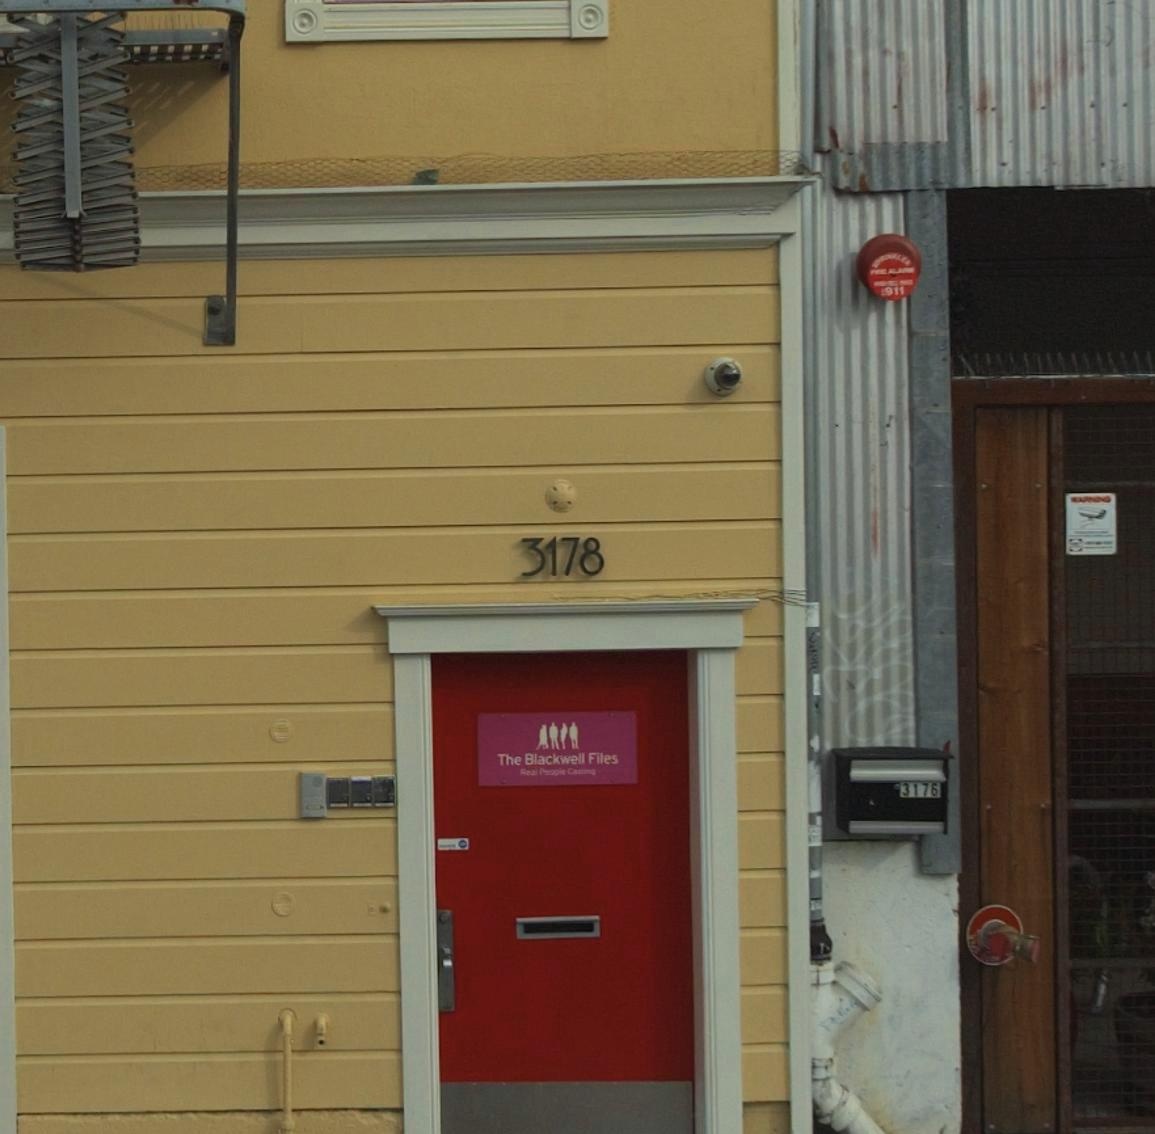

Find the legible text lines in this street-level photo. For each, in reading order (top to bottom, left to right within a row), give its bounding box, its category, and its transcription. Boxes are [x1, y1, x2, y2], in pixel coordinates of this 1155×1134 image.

[883, 285, 906, 297] None: 911
[519, 535, 607, 578] StreetNumber: 3178
[496, 751, 619, 767] BusinessName: The Blackwell Files
[901, 780, 940, 797] StreetNumber: 3176